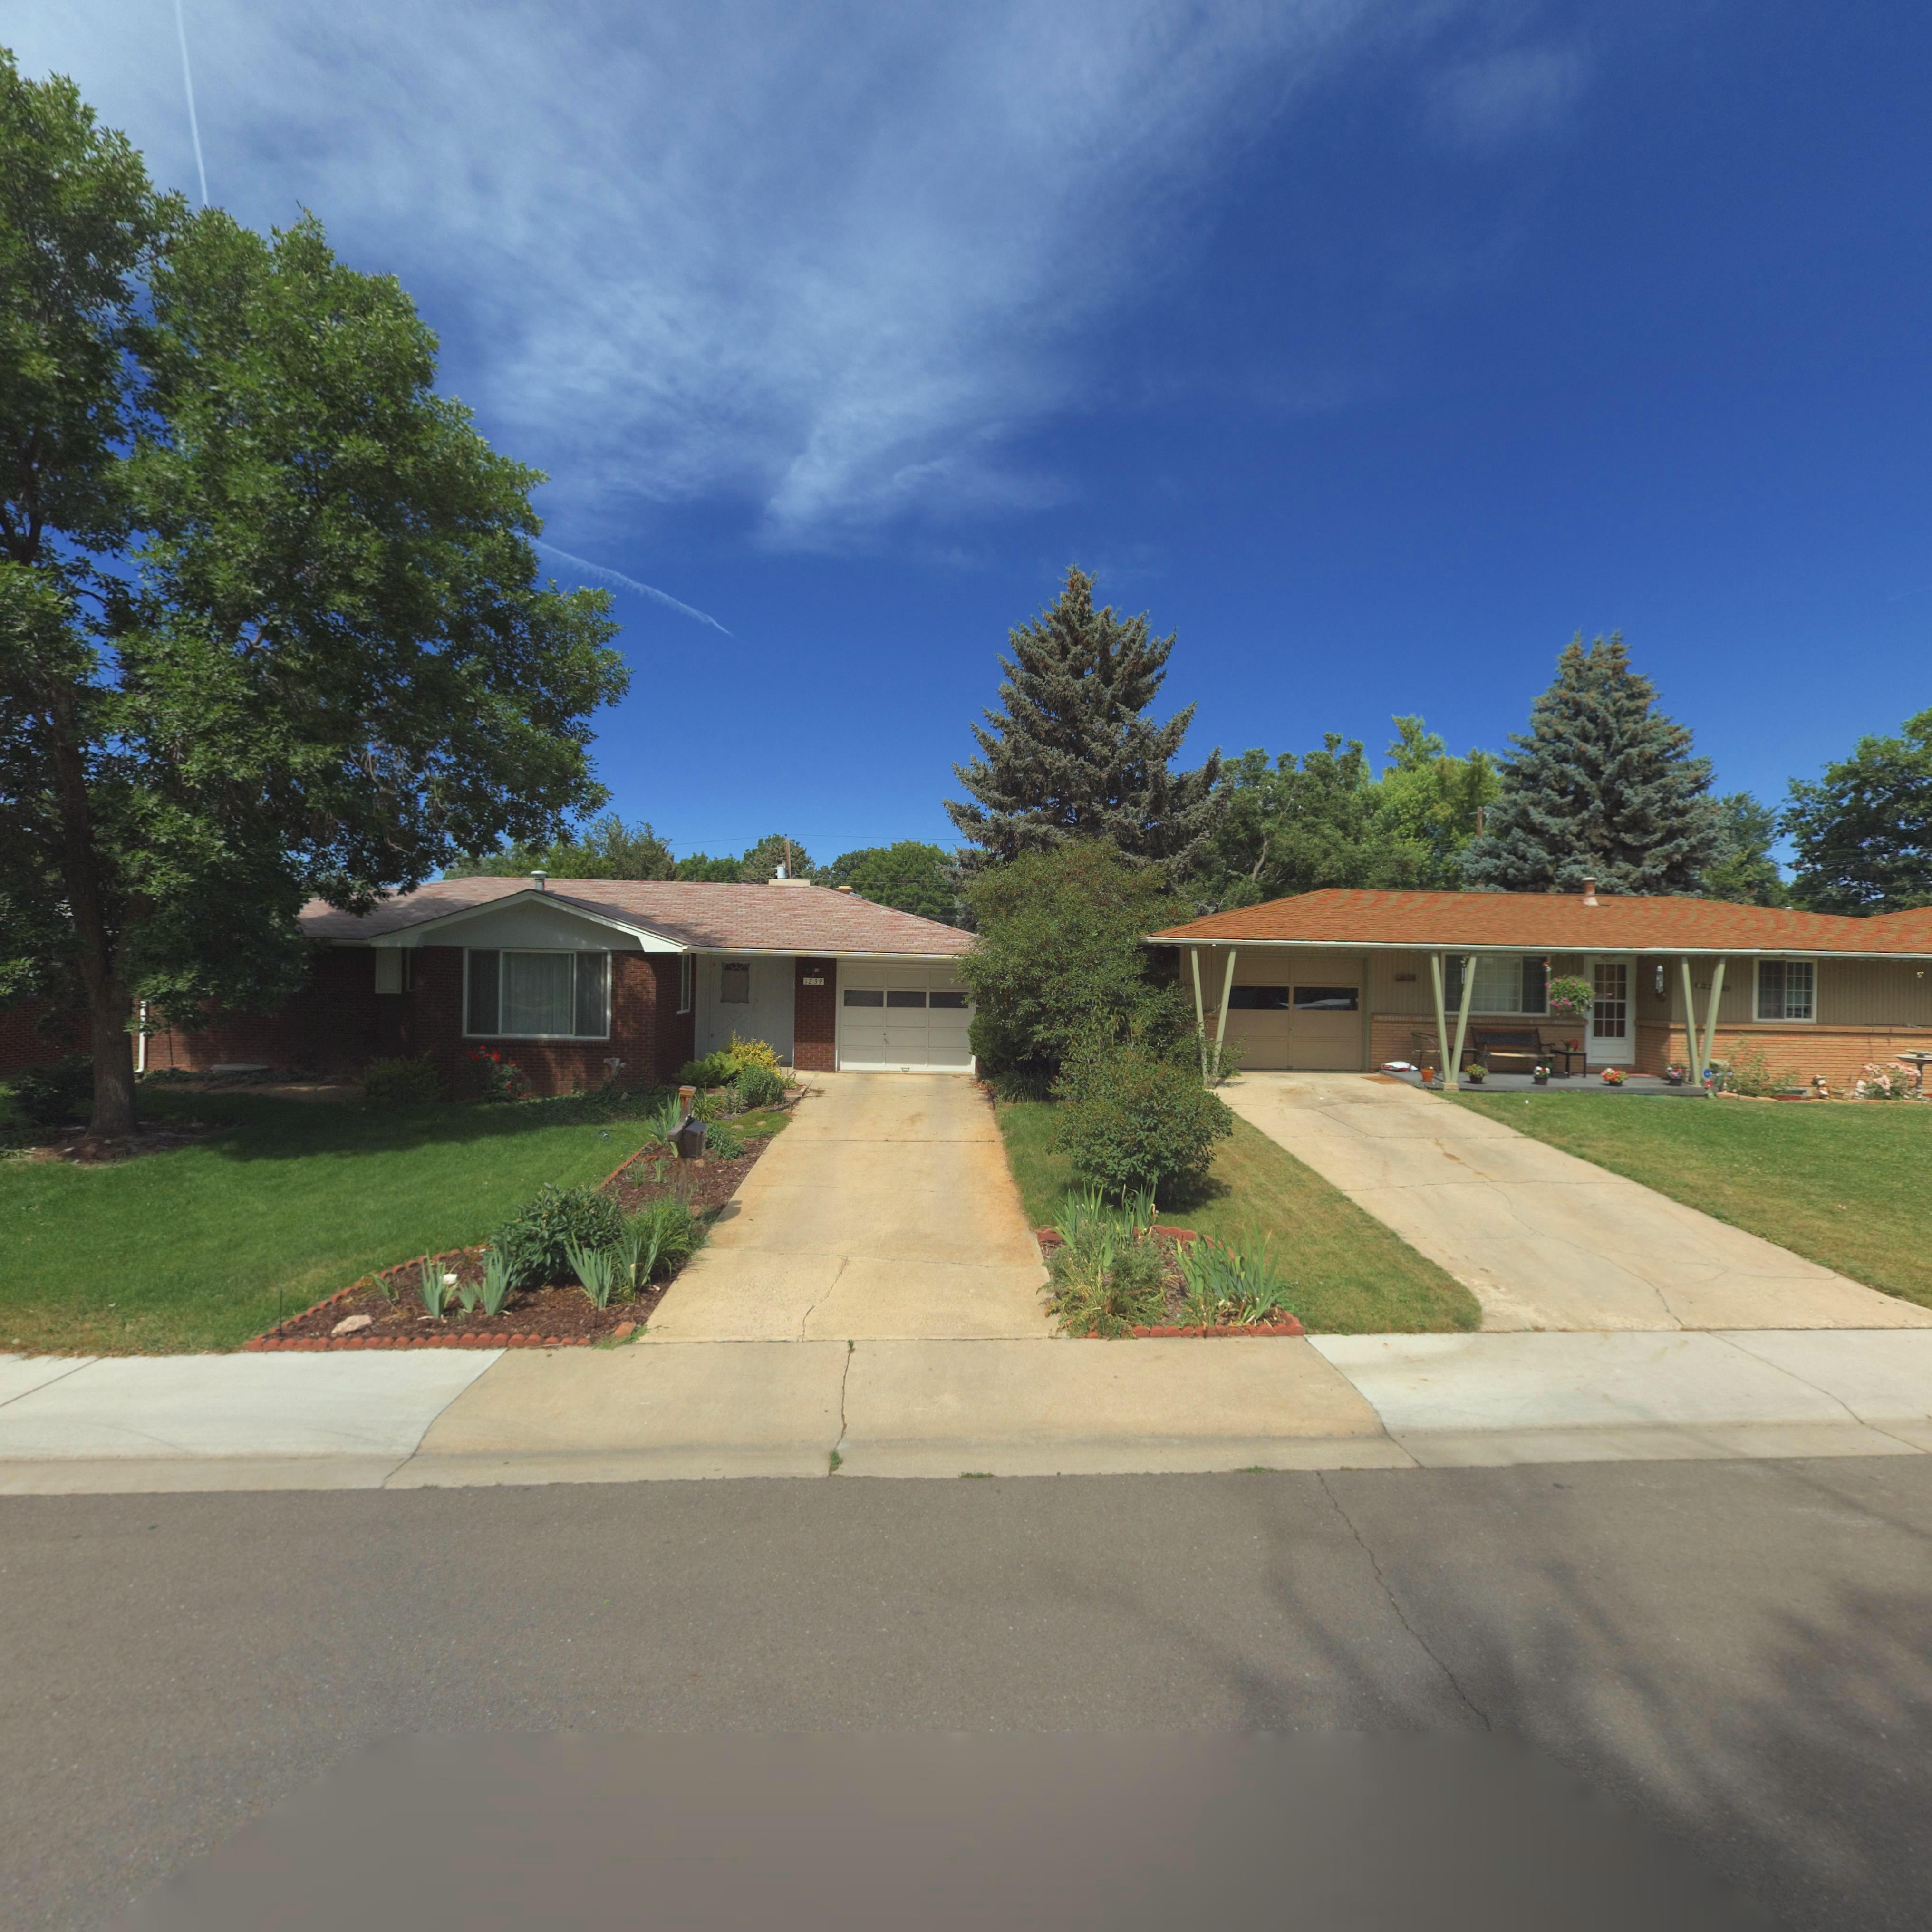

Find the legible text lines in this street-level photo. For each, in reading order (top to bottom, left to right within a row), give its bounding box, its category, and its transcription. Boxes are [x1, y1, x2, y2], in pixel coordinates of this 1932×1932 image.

[804, 978, 822, 984] StreetNumber: 1239